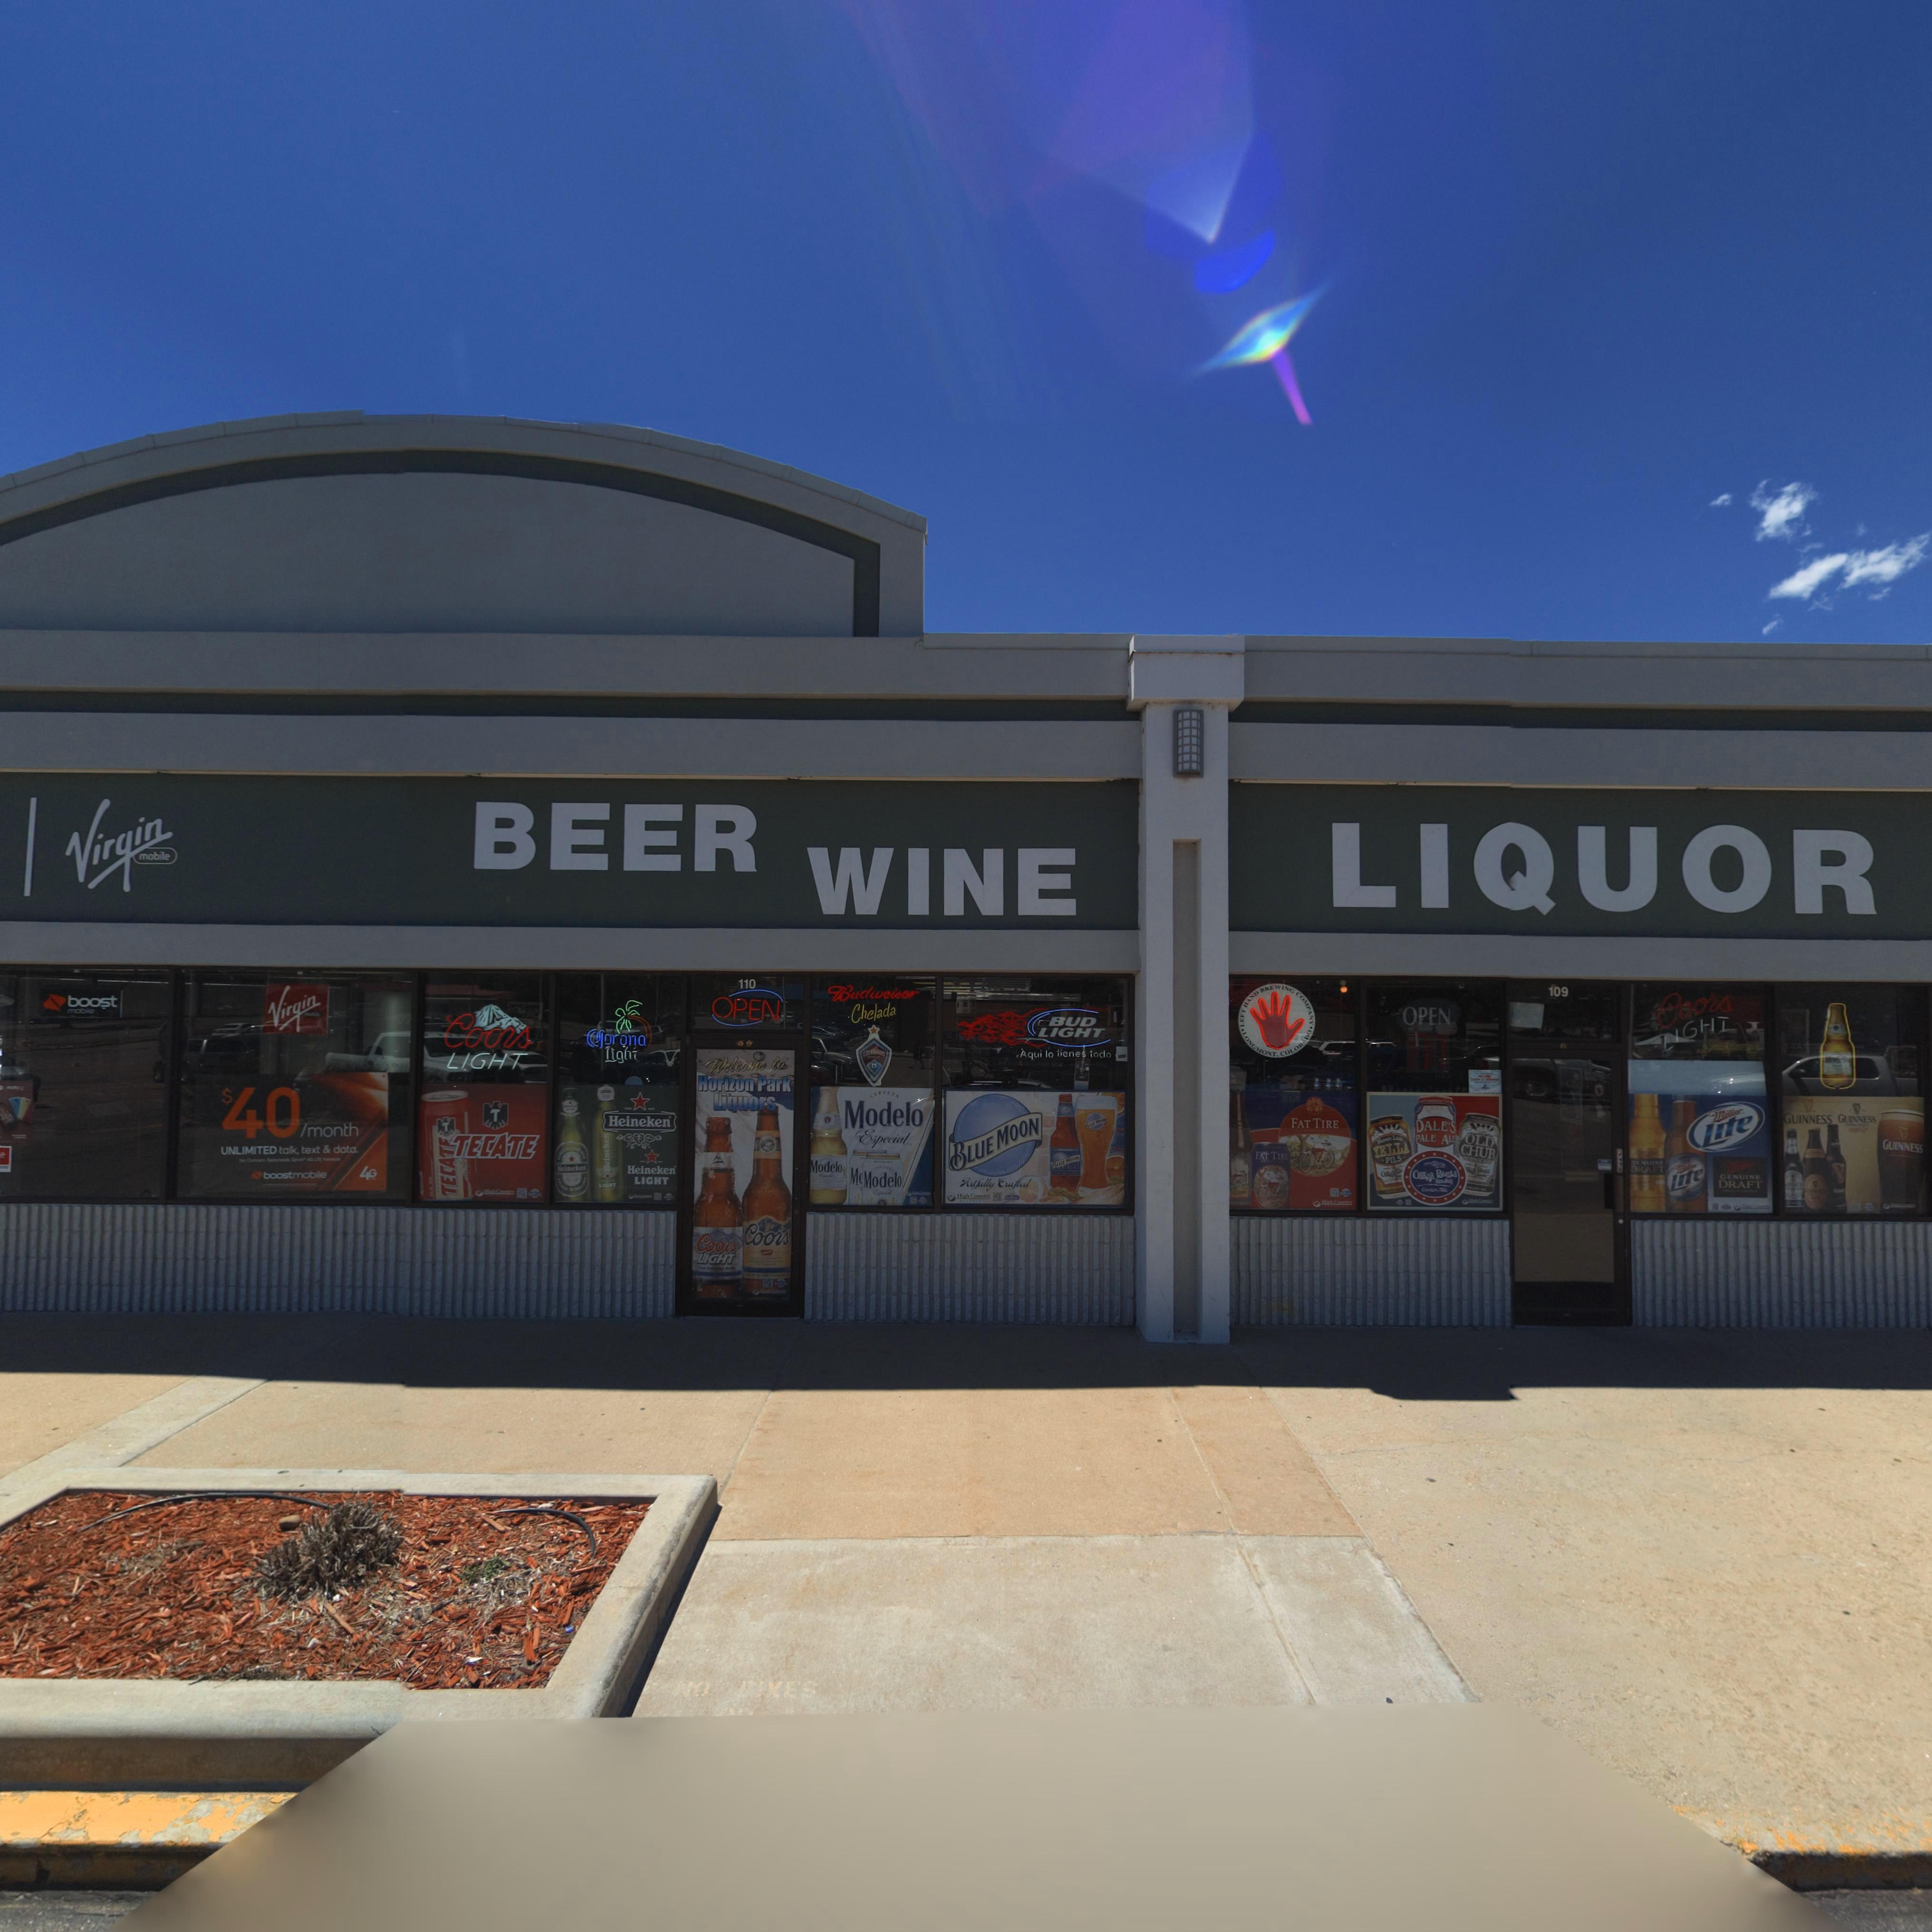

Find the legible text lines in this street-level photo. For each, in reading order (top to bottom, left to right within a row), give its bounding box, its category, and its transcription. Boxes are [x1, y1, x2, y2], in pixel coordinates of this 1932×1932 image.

[64, 797, 174, 892] BusinessName: Virgin
[138, 850, 171, 861] BusinessName: mobile
[737, 978, 756, 989] StreetNumber: 110
[1547, 985, 1568, 997] StreetNumber: 109
[68, 994, 118, 1007] BusinessName: boost
[67, 1007, 95, 1014] BusinessName: mobile
[267, 984, 321, 1033] BusinessName: Virgin
[303, 1011, 320, 1016] BusinessName: mobile
[697, 1074, 791, 1092] BusinessName: Horizon Park
[713, 1092, 776, 1112] BusinessName: Liquors